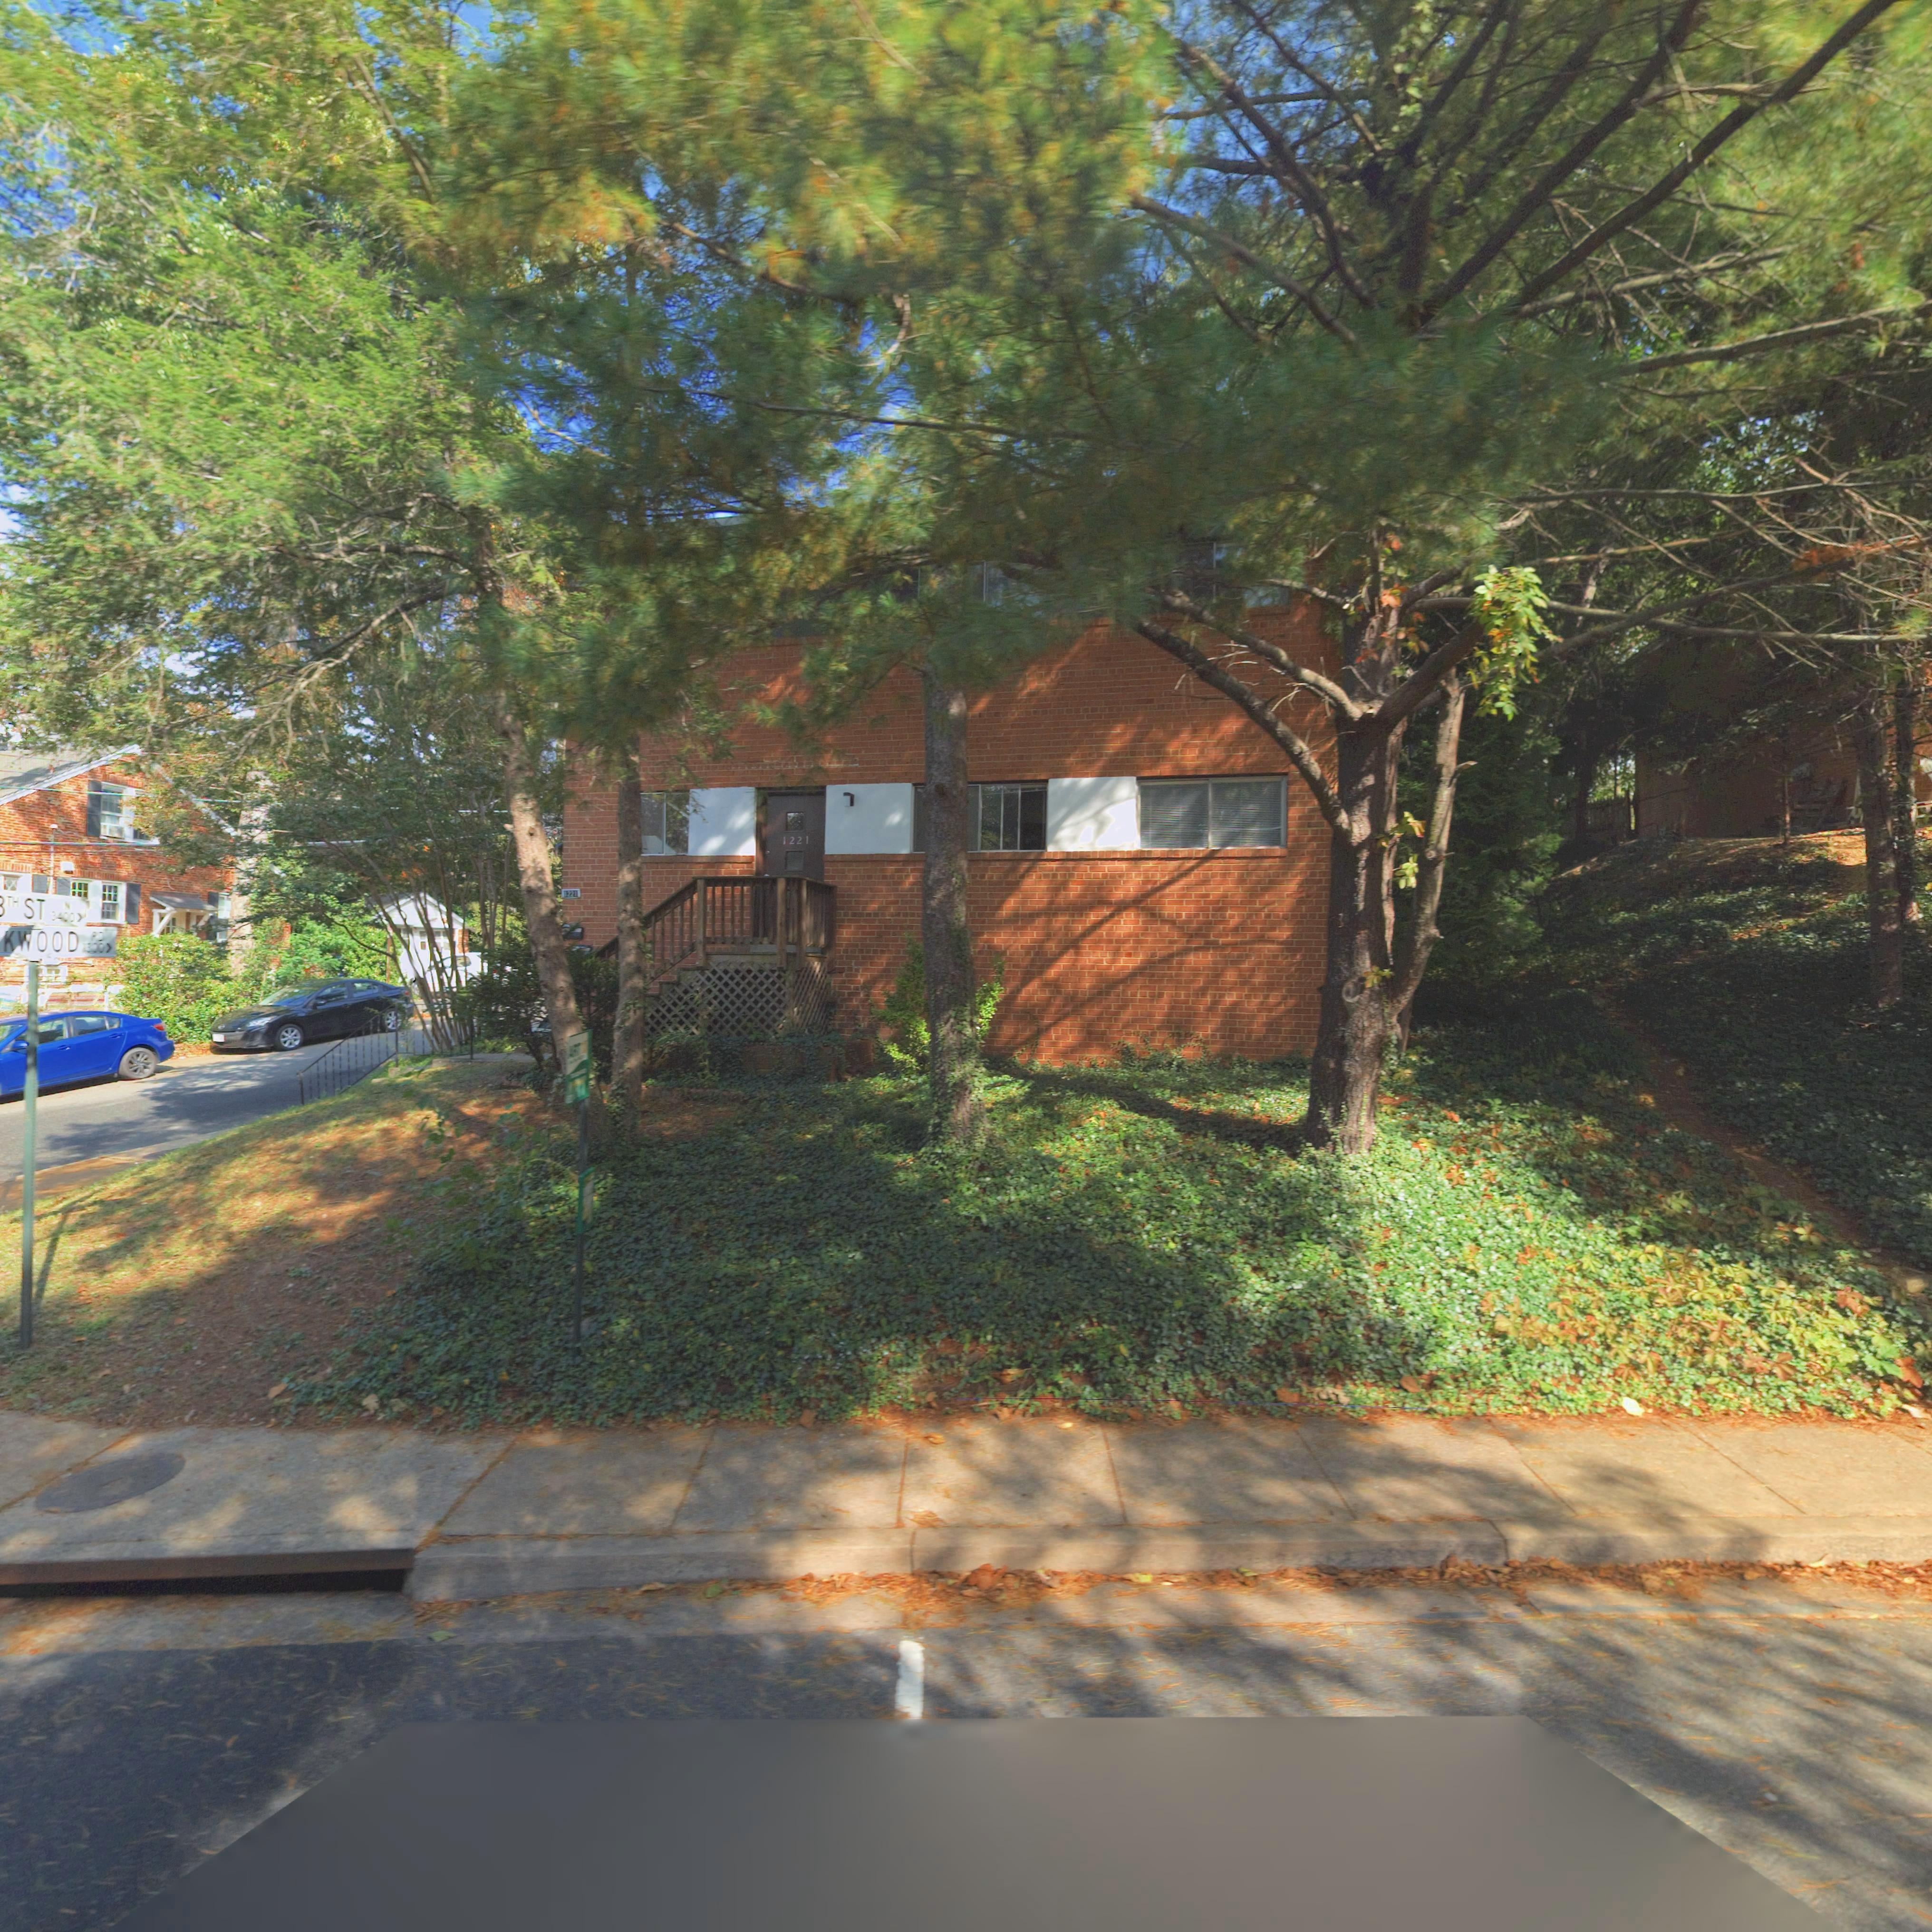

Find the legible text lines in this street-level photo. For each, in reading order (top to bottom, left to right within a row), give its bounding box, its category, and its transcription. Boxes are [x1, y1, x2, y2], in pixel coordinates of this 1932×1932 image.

[782, 835, 809, 845] StreetNumber: 1221
[564, 890, 578, 898] StreetNumber: 1221
[6, 895, 71, 920] StreetName: TH ST N
[49, 910, 84, 924] StreetNumberRange: 3400->
[3, 930, 106, 953] StreetName: KWOOD RD
[81, 942, 113, 954] StreetNumberRange: 1300->